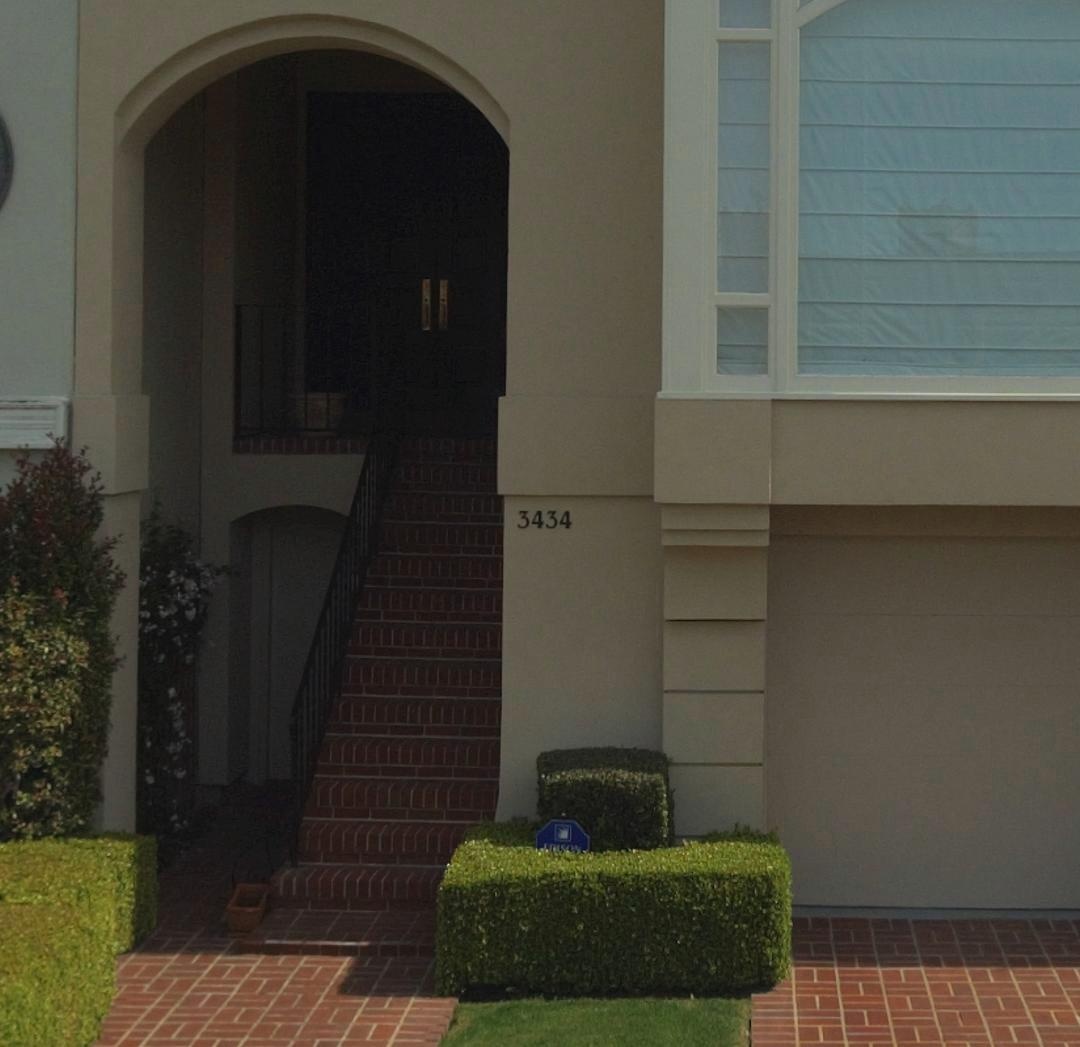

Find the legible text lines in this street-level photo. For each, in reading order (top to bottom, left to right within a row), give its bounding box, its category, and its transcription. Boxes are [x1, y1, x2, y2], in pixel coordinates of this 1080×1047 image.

[515, 508, 574, 532] StreetNumber: 3434